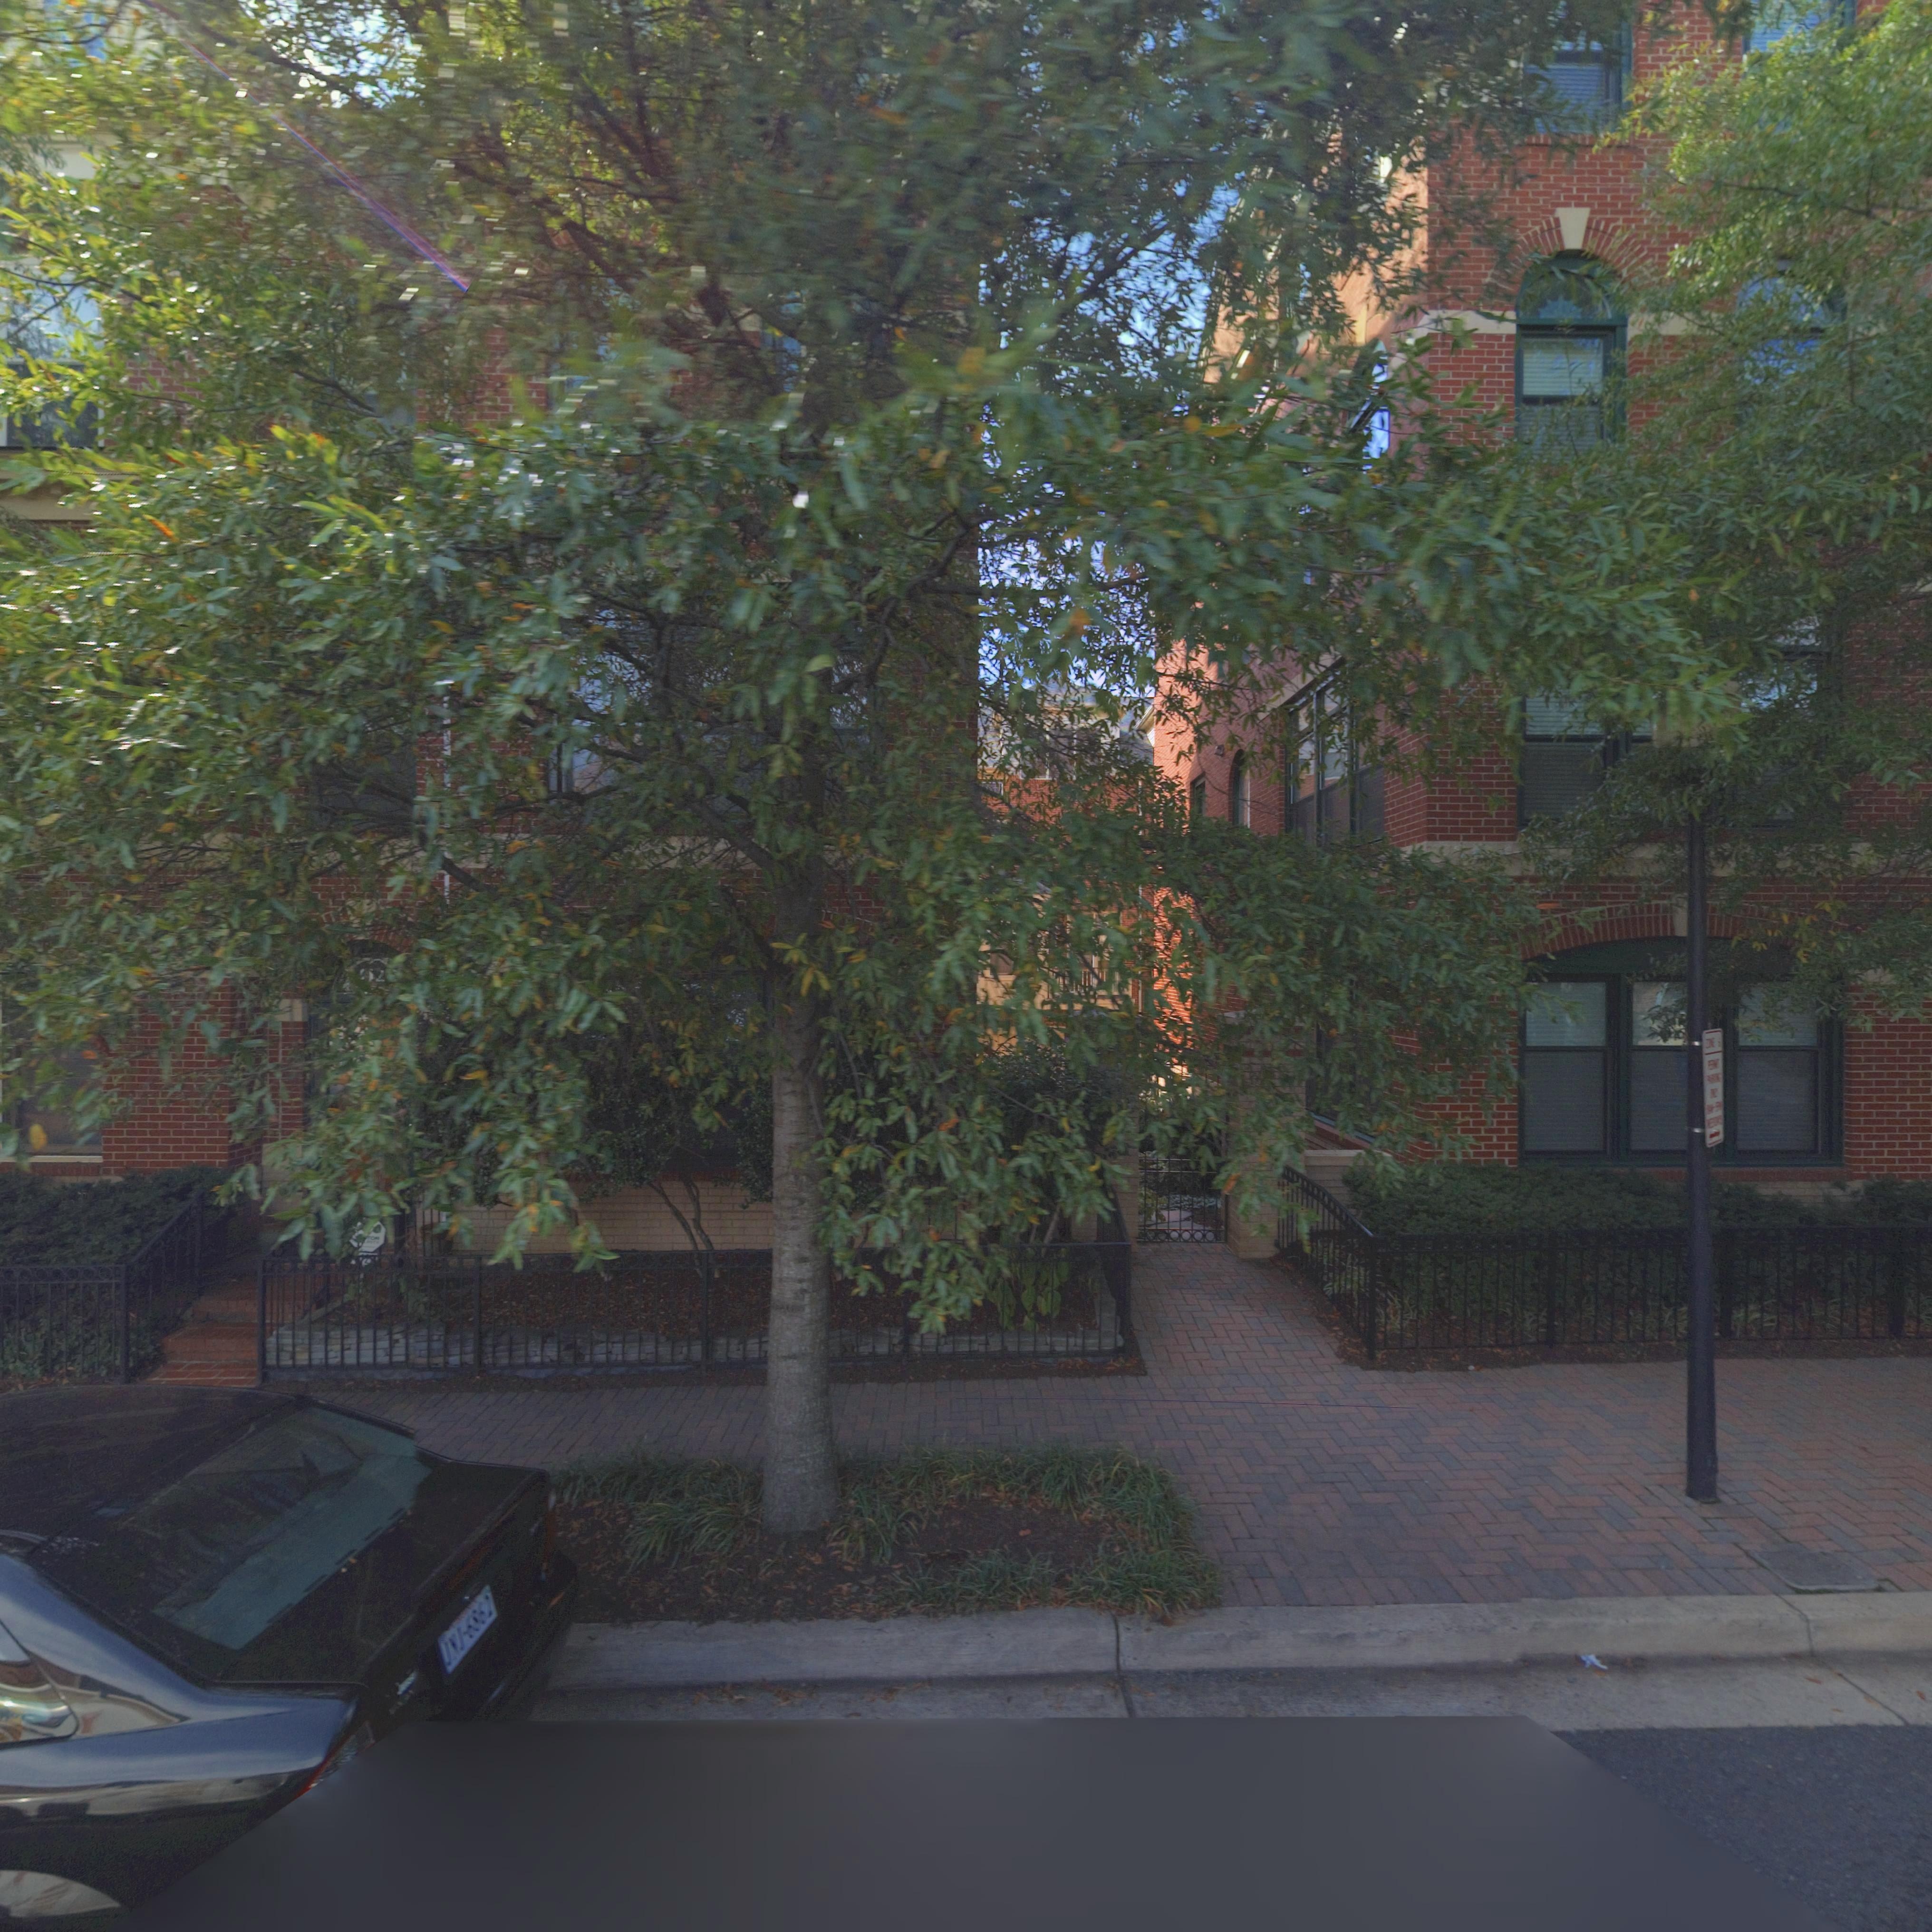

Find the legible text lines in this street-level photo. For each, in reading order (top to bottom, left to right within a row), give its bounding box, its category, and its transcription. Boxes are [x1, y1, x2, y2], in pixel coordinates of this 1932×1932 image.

[441, 1588, 496, 1670] None: JNJ-686*